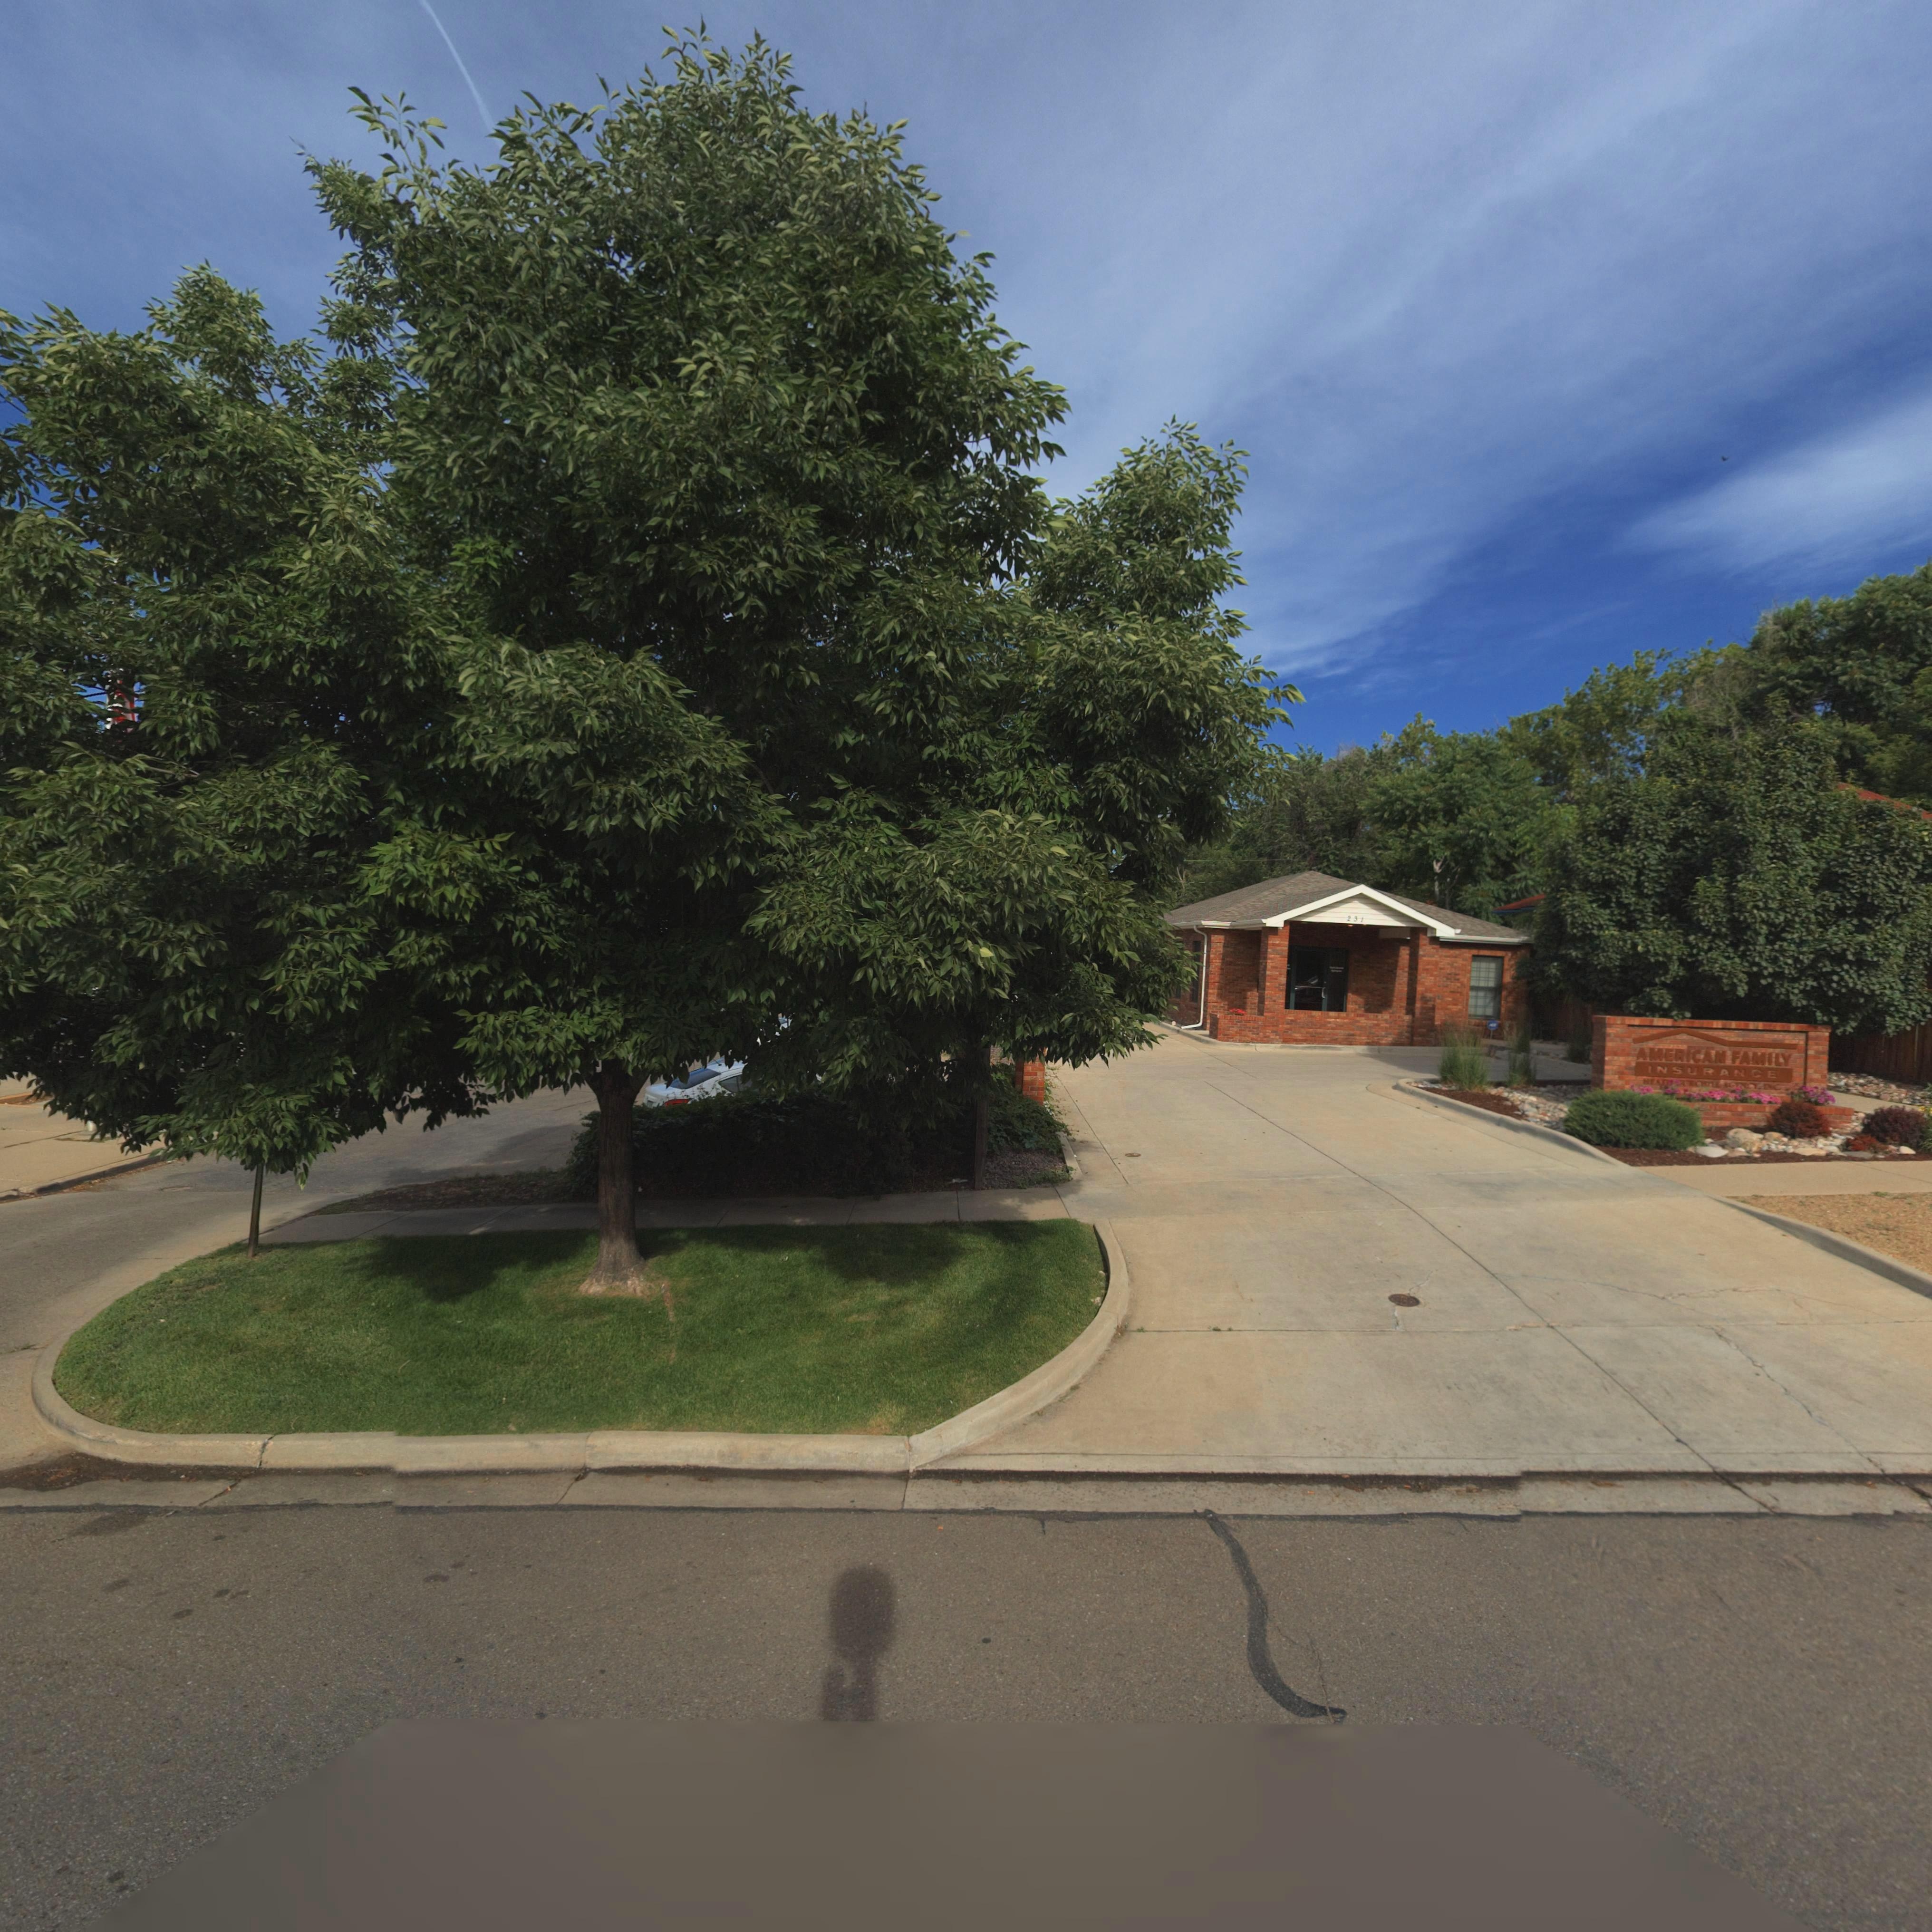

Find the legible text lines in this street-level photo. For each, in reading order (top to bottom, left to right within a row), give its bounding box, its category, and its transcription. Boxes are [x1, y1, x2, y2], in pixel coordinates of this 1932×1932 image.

[1346, 915, 1363, 922] StreetNumber: 231
[1635, 1046, 1792, 1067] BusinessName: AMERICAN FAMILY
[1647, 1064, 1777, 1079] BusinessName: INSURANCE